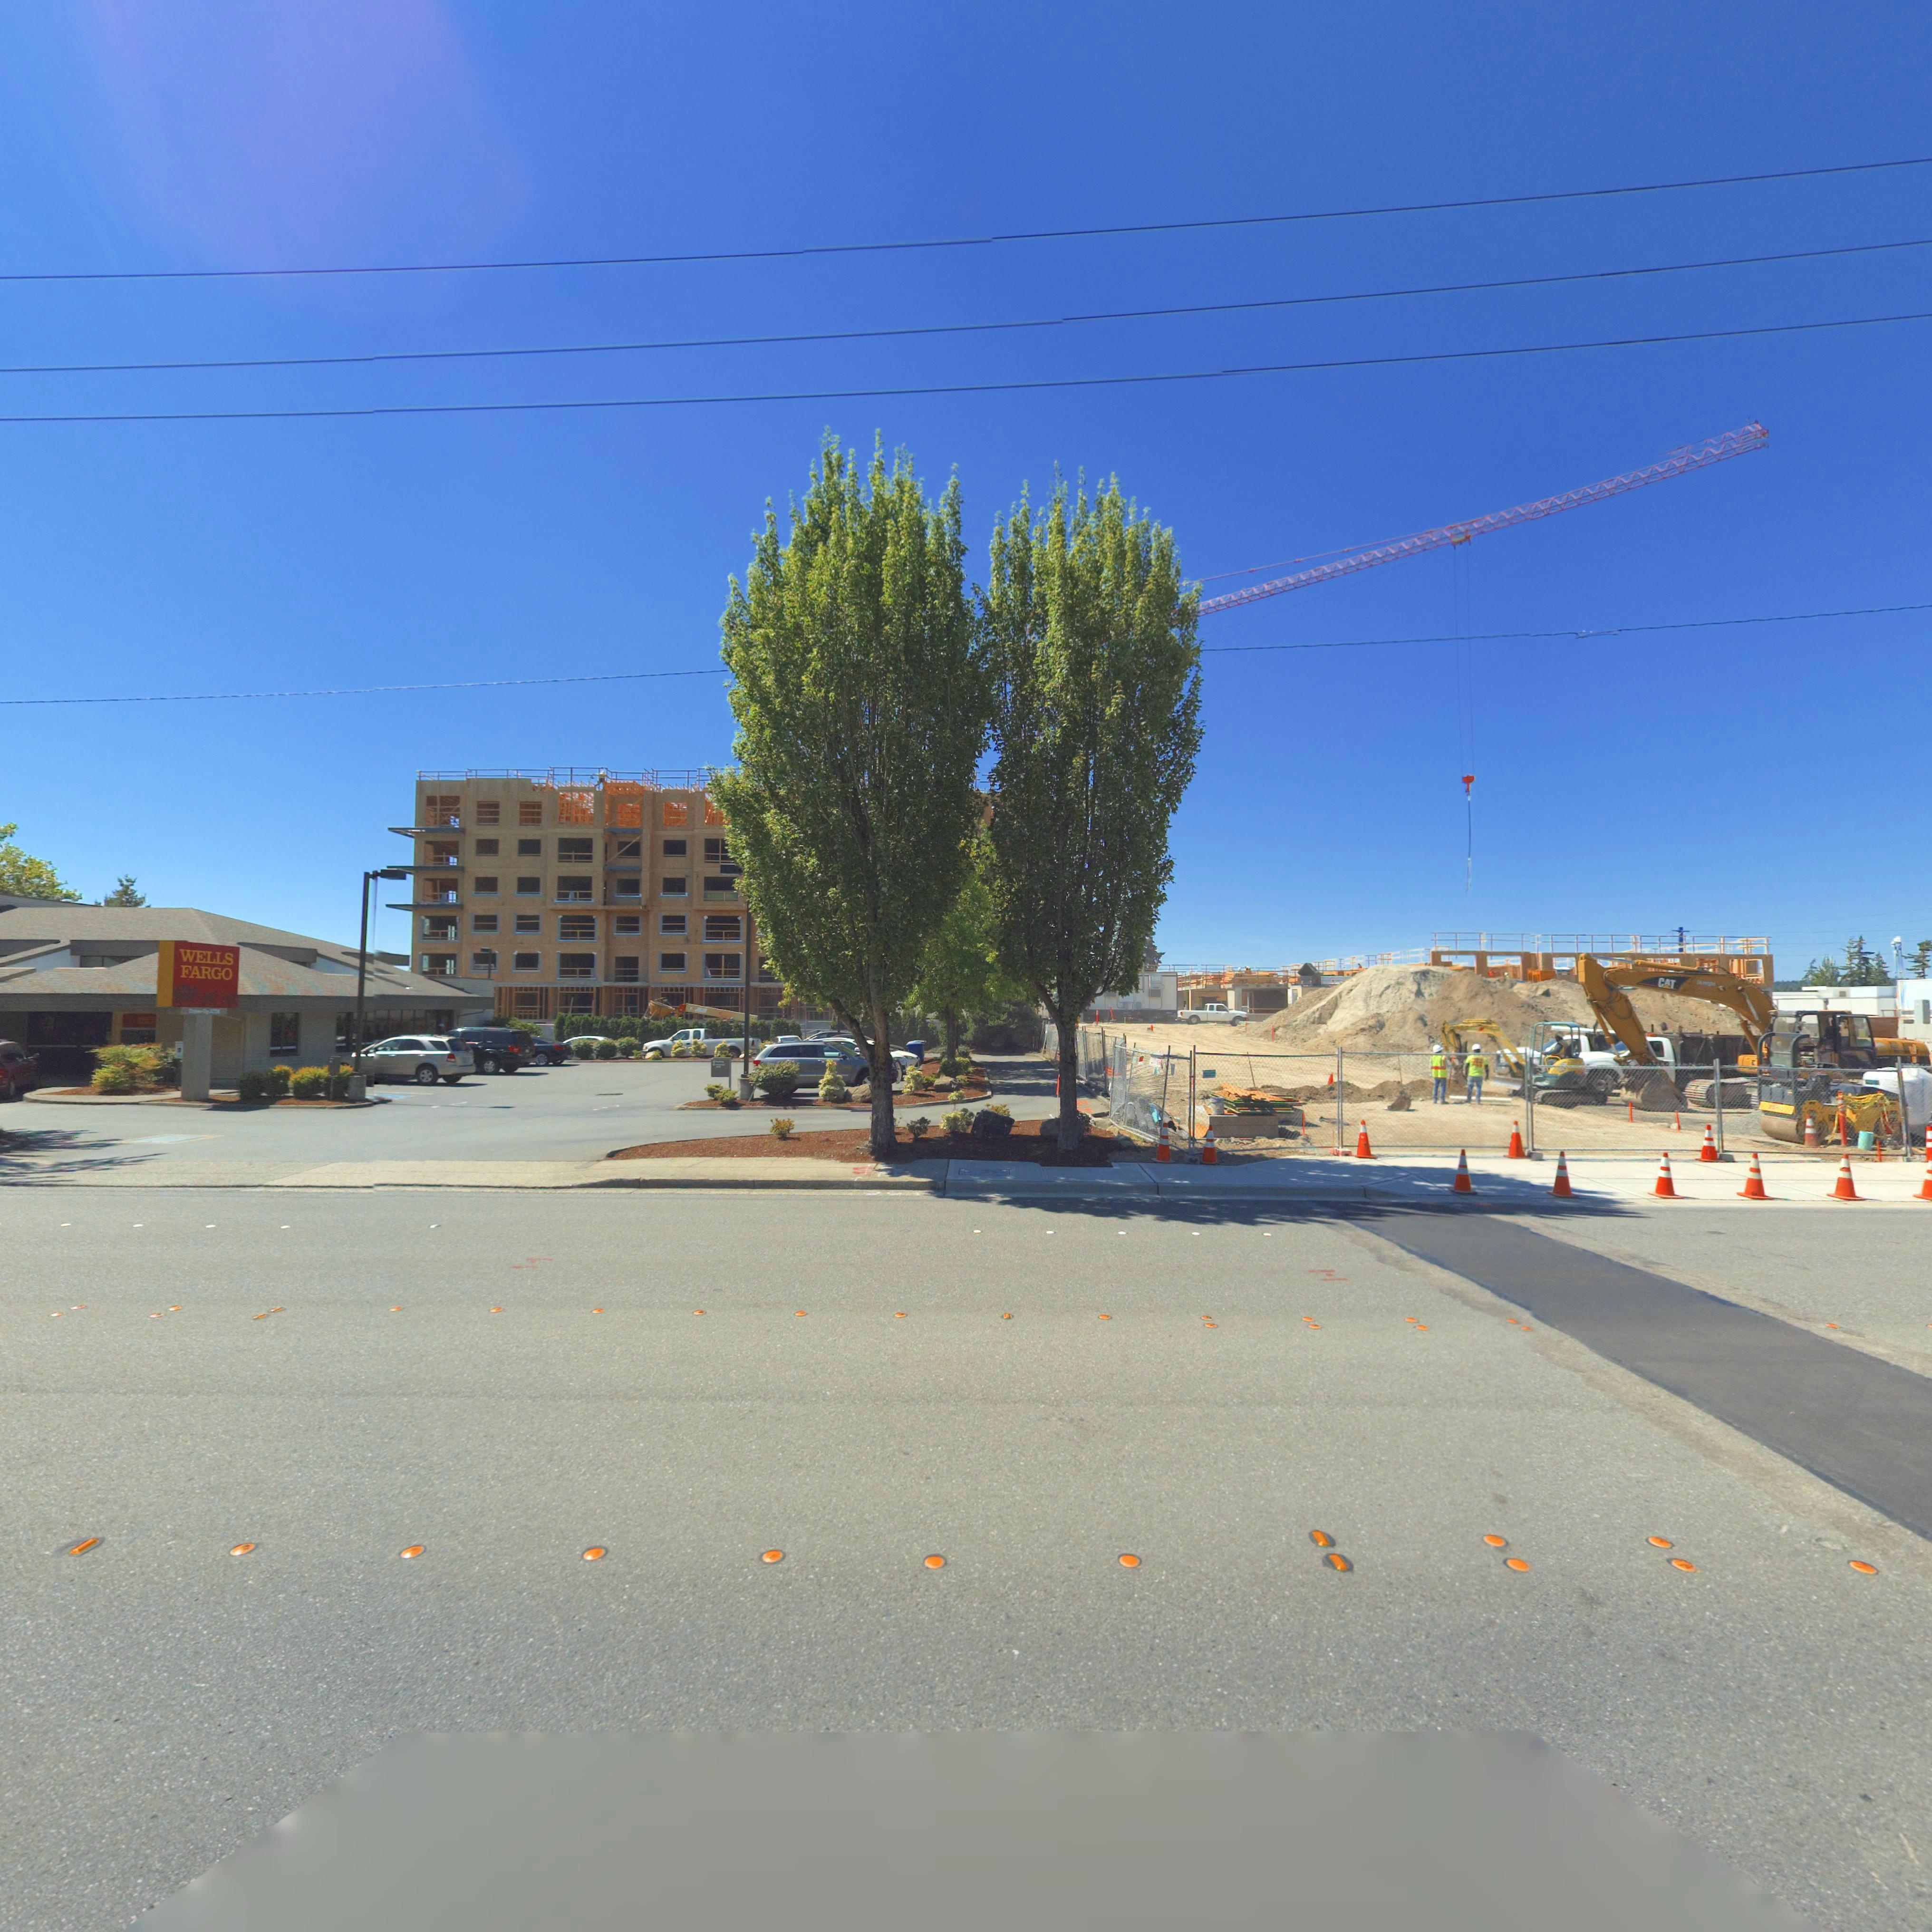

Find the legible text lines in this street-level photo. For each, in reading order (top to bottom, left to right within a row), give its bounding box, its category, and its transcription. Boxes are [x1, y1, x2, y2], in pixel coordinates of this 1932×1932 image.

[178, 948, 233, 966] BusinessName: WELLS
[180, 964, 233, 980] BusinessName: FARGO